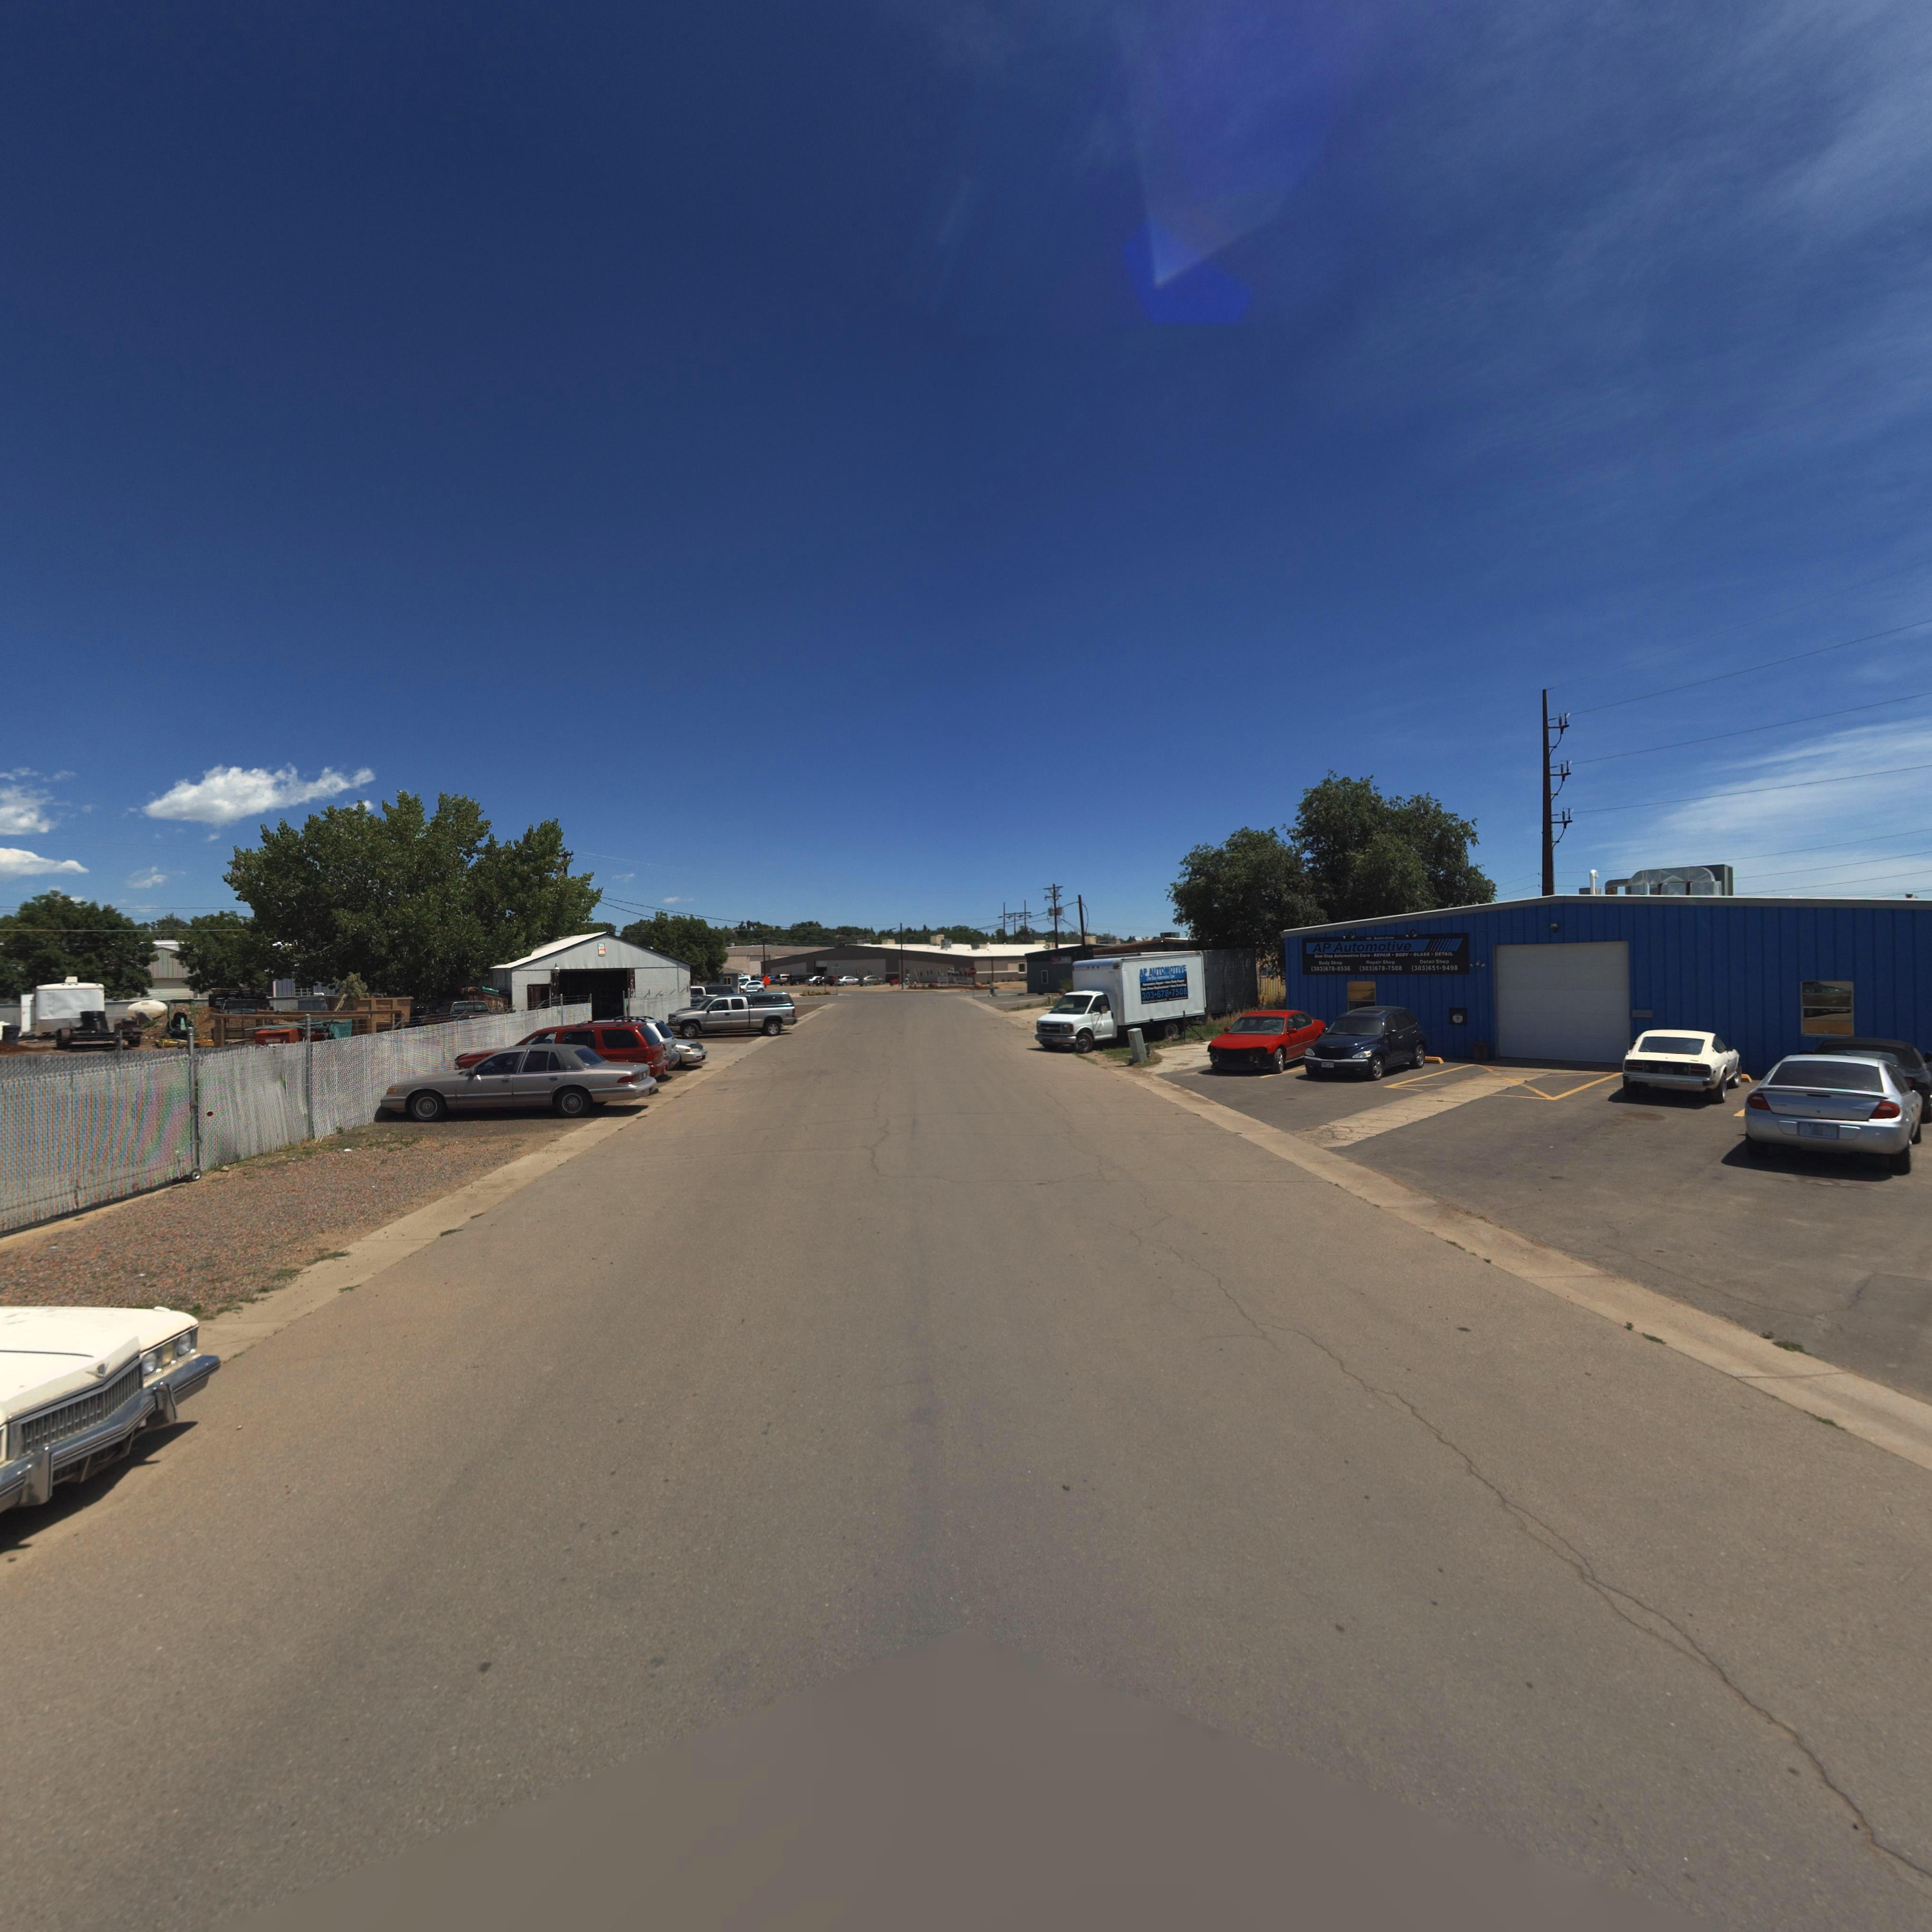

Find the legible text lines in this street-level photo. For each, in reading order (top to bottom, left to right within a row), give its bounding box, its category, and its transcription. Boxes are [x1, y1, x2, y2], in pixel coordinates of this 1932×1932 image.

[1373, 936, 1394, 940] StreetName: Bowen Circle
[1312, 940, 1412, 952] BusinessName: AP Automotive